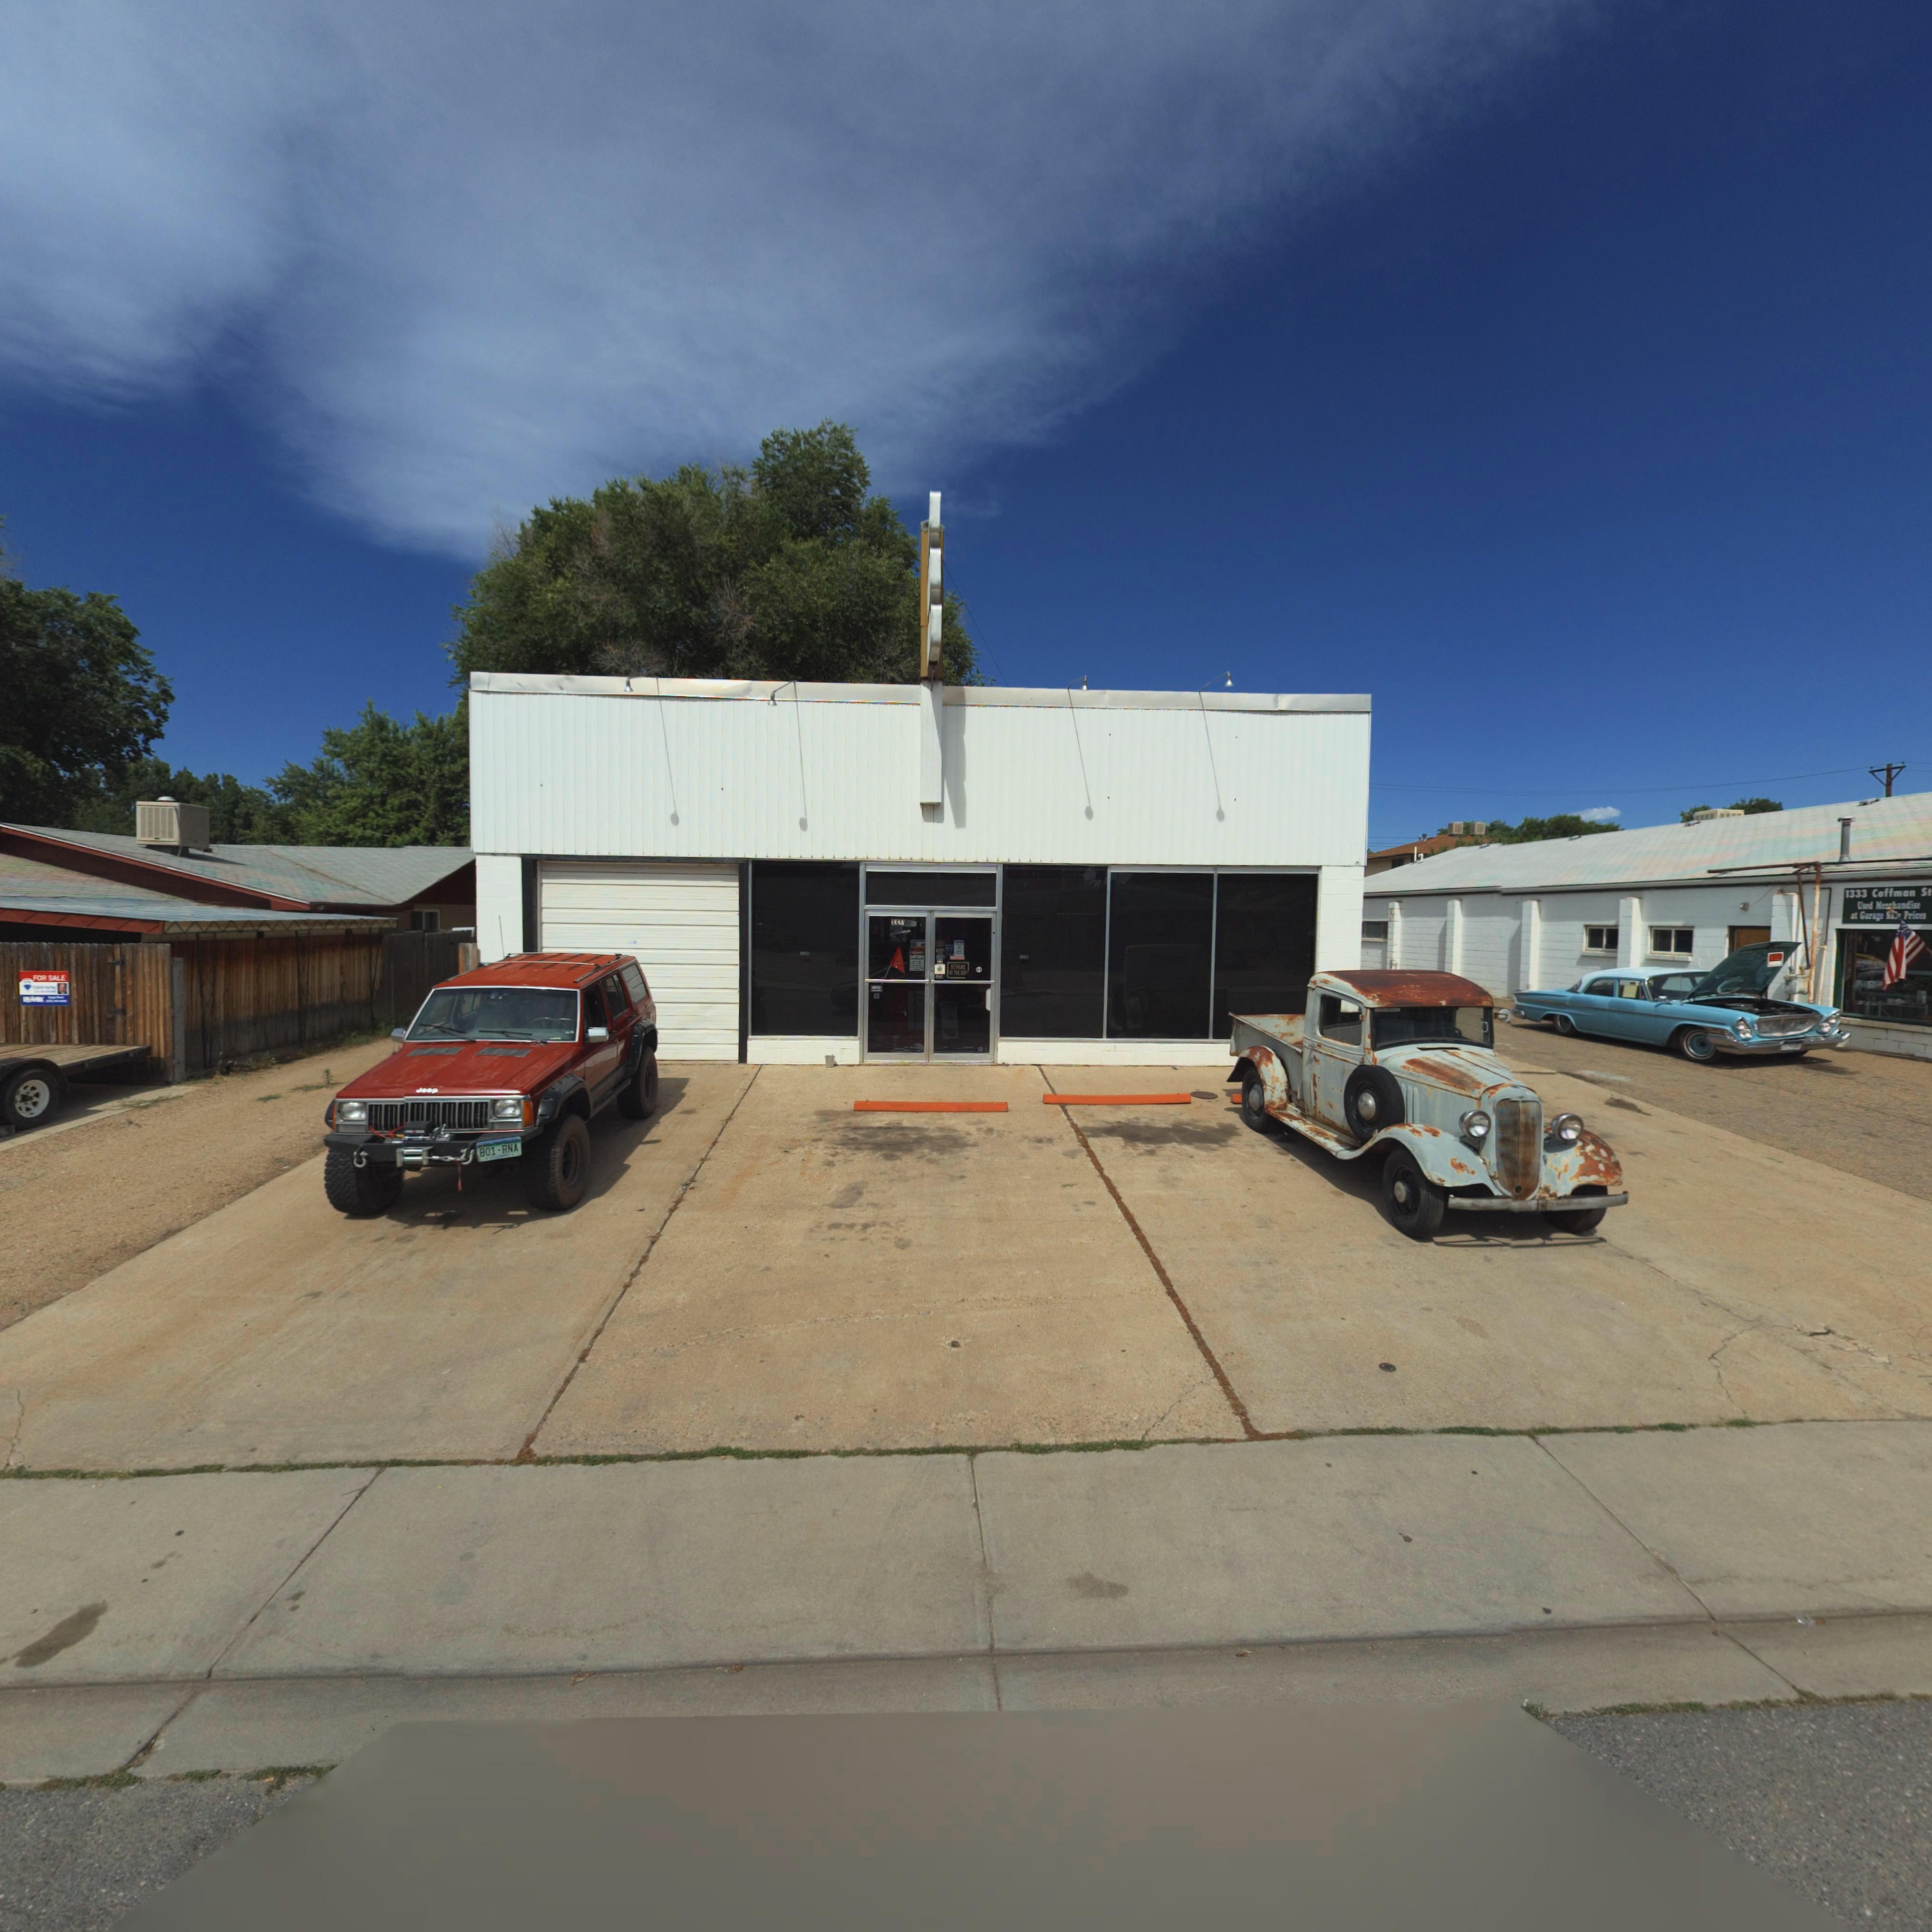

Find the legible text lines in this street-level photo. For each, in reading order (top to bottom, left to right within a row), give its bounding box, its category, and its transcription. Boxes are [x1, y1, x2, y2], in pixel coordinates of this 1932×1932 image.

[1845, 889, 1867, 898] StreetNumber: 1333
[1871, 887, 1927, 898] StreetName: Coffman S
[891, 918, 905, 925] StreetNumber: 1327